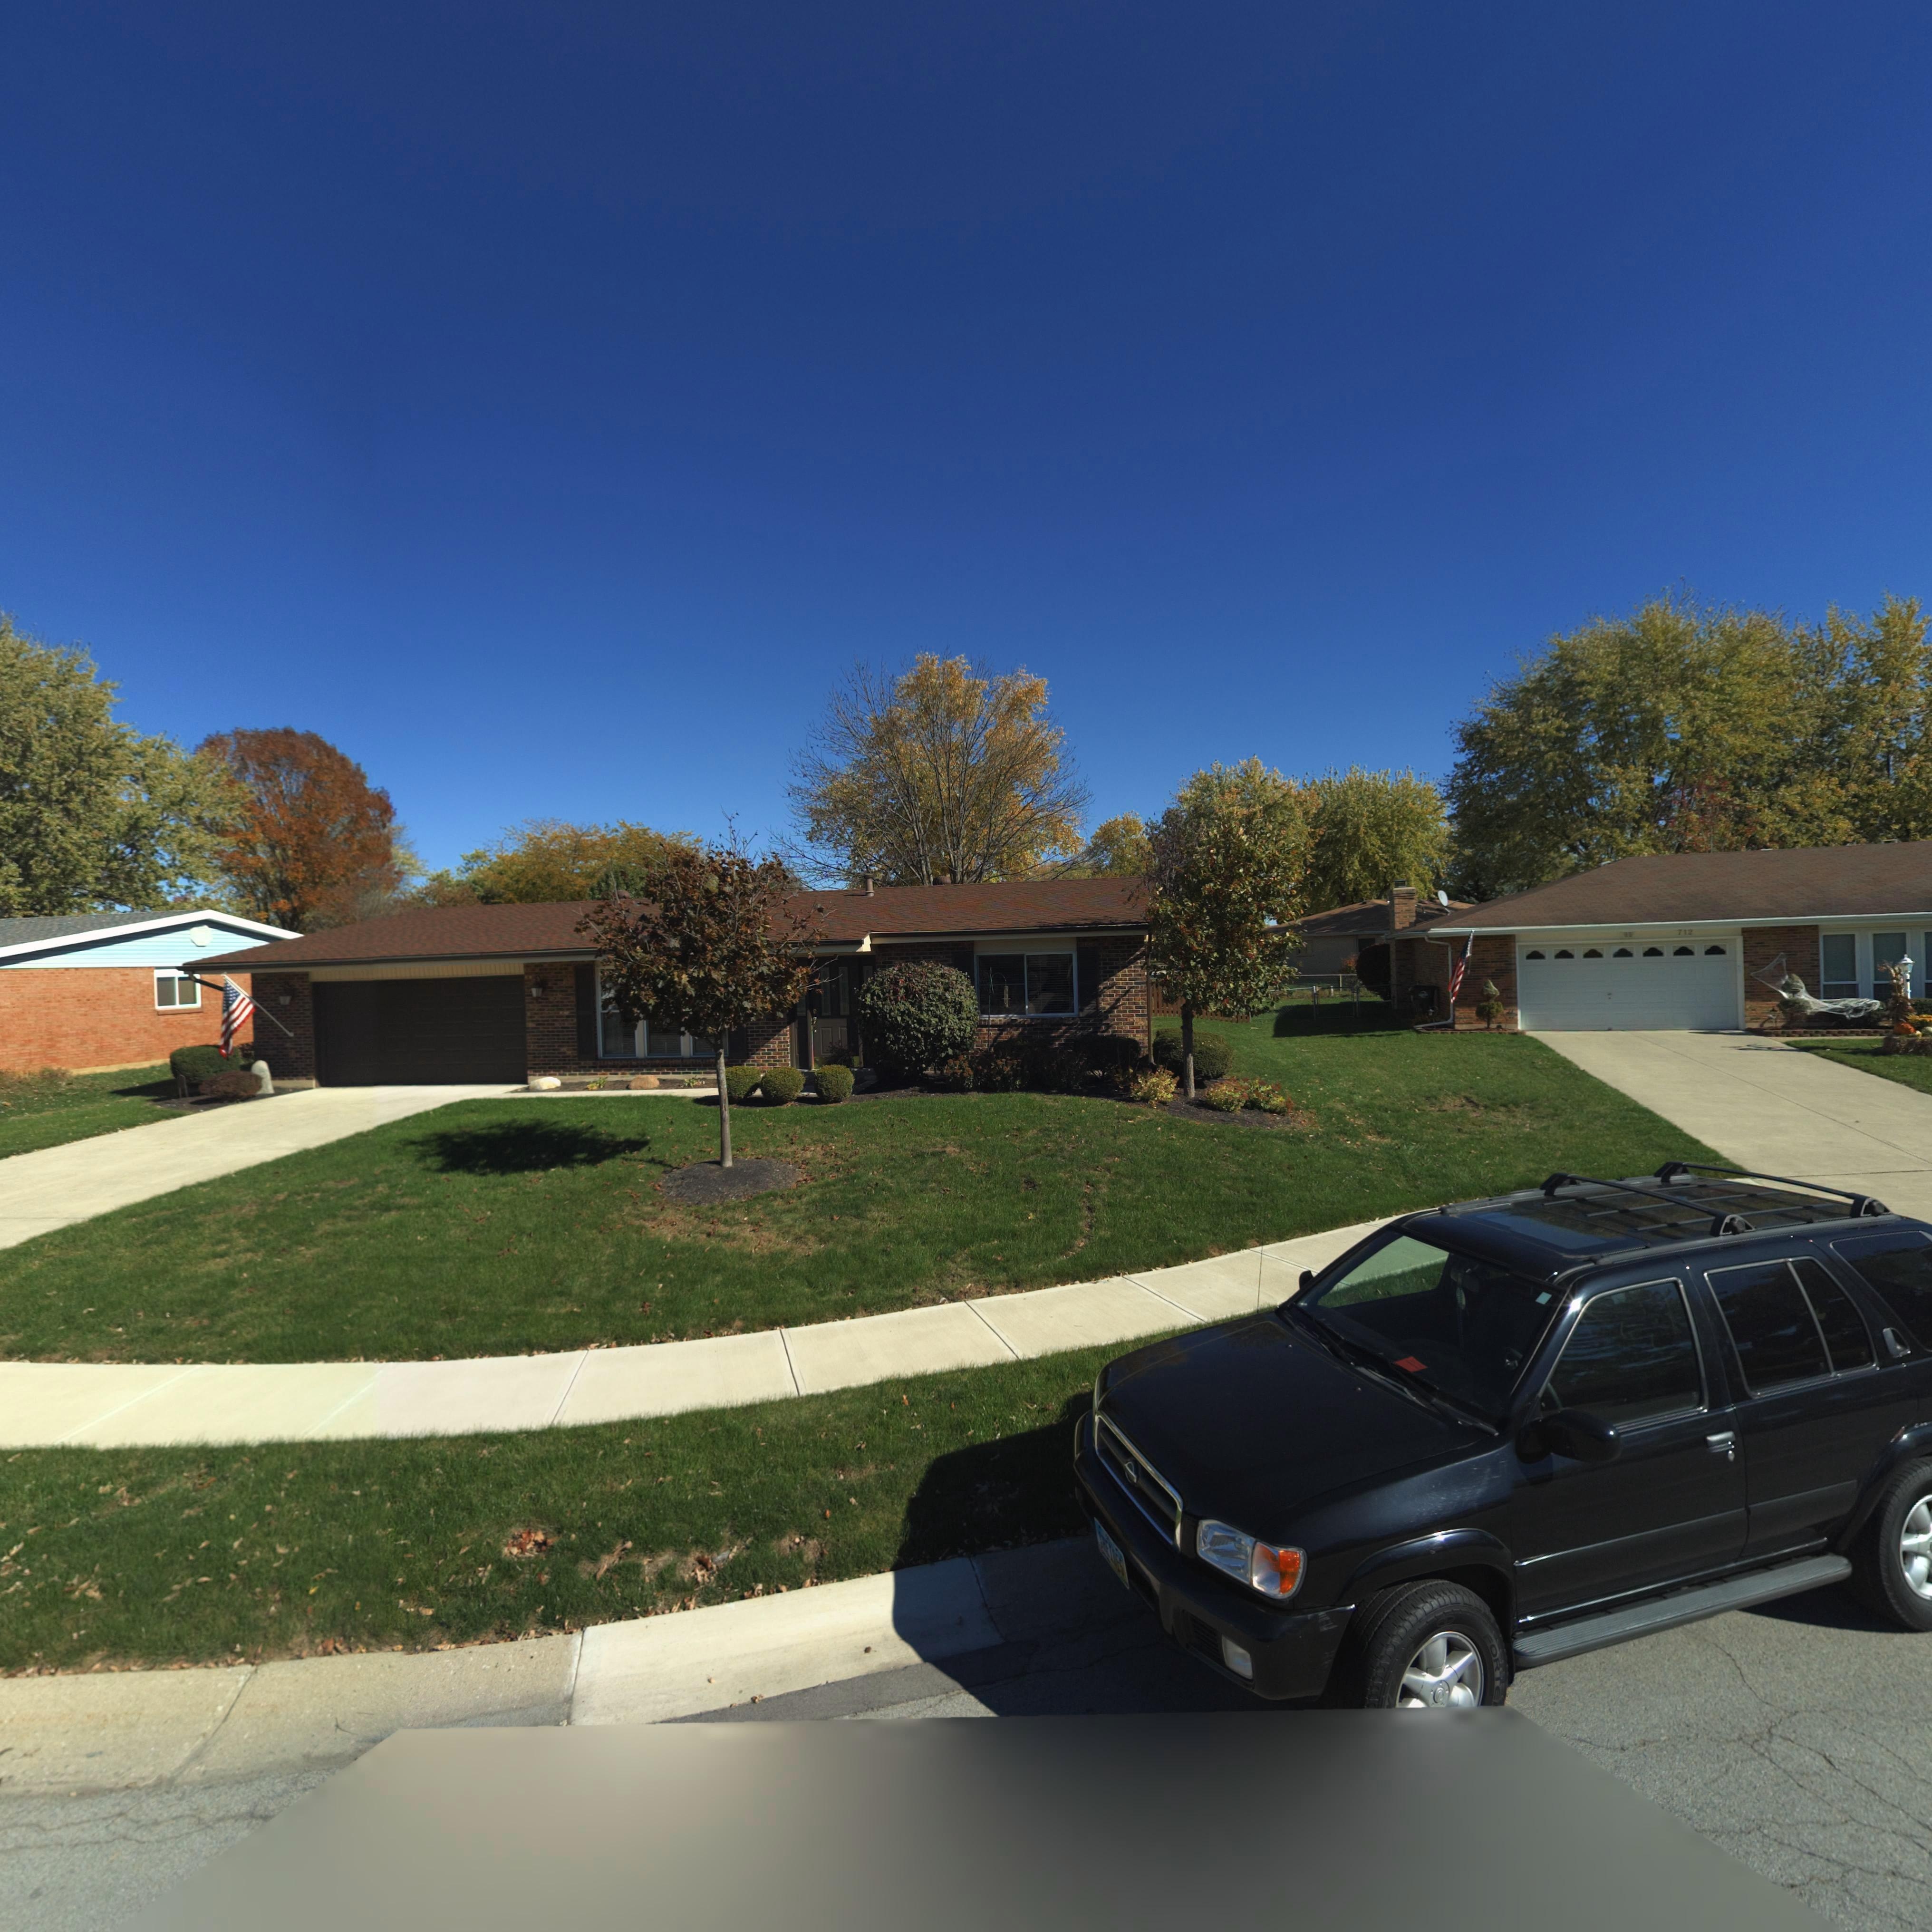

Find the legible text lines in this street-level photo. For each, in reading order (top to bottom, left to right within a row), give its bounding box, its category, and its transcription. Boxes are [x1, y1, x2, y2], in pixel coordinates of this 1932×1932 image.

[1677, 928, 1692, 935] StreetNumber: 712